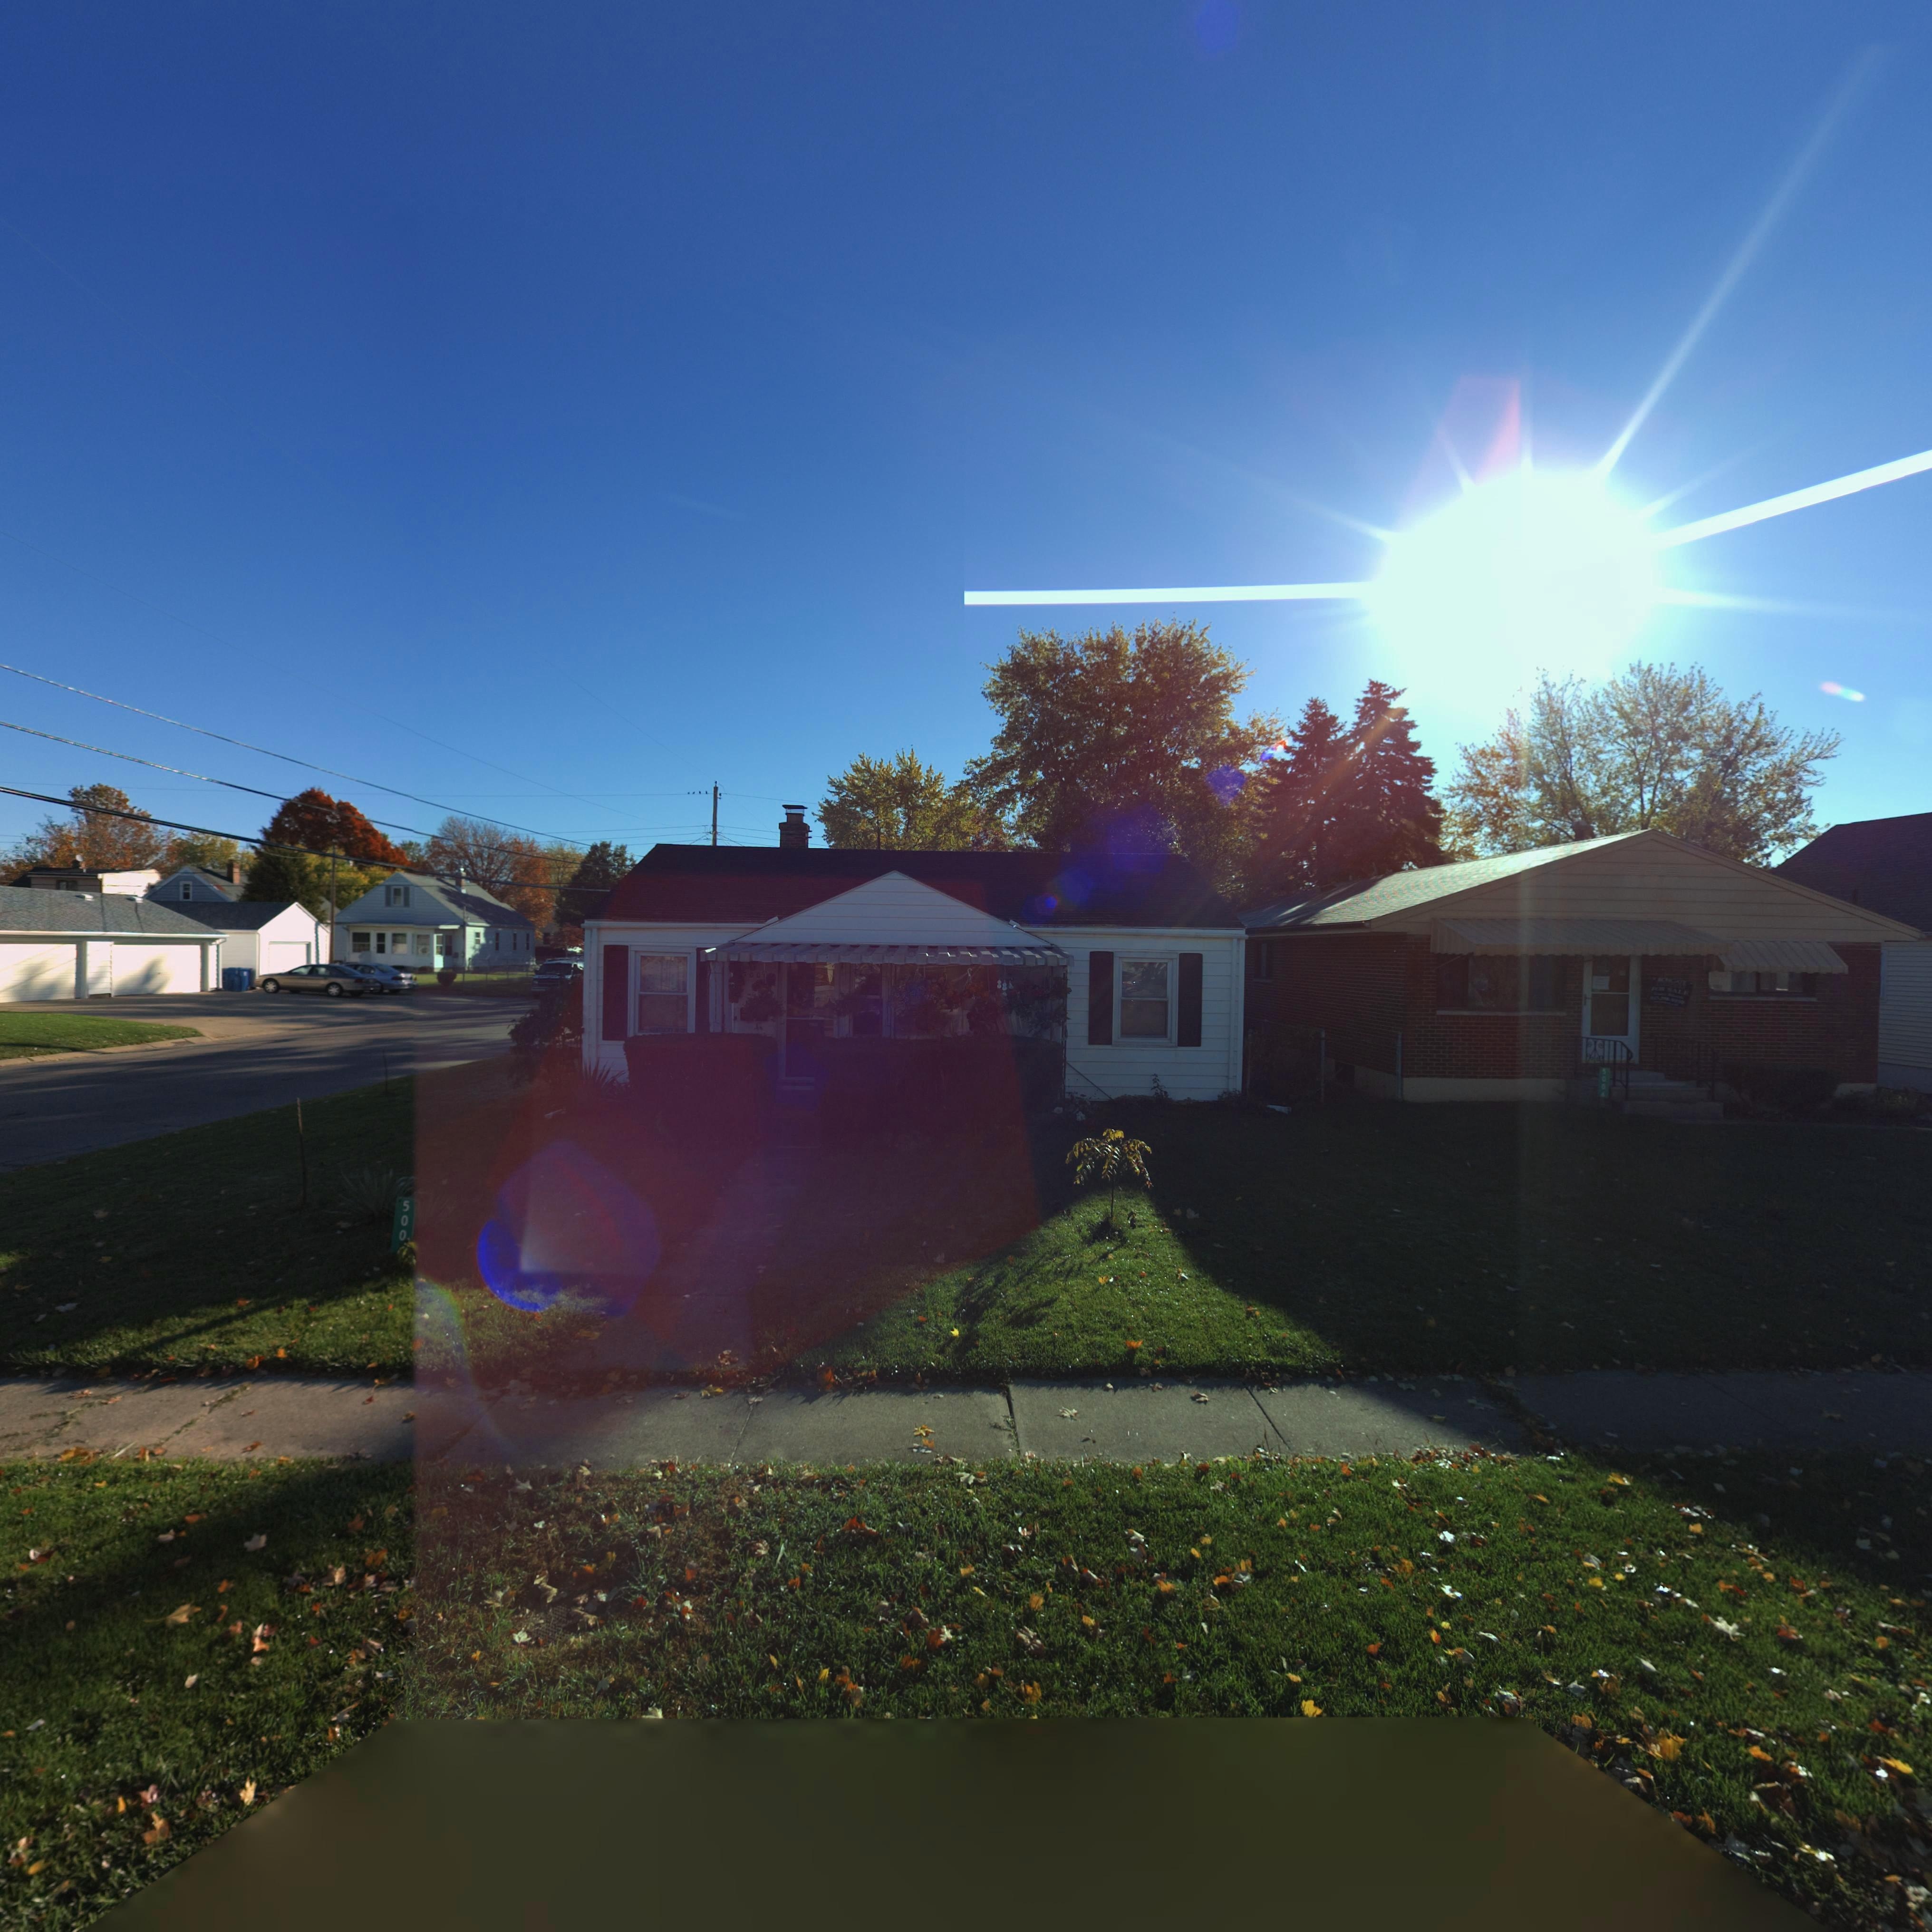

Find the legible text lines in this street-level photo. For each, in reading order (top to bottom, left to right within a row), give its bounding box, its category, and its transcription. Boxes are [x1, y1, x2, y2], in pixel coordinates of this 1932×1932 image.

[748, 971, 761, 979] StreetNumber: 00
[1600, 1068, 1607, 1098] StreetNumber: 5004
[397, 1199, 411, 1242] StreetNumber: 500